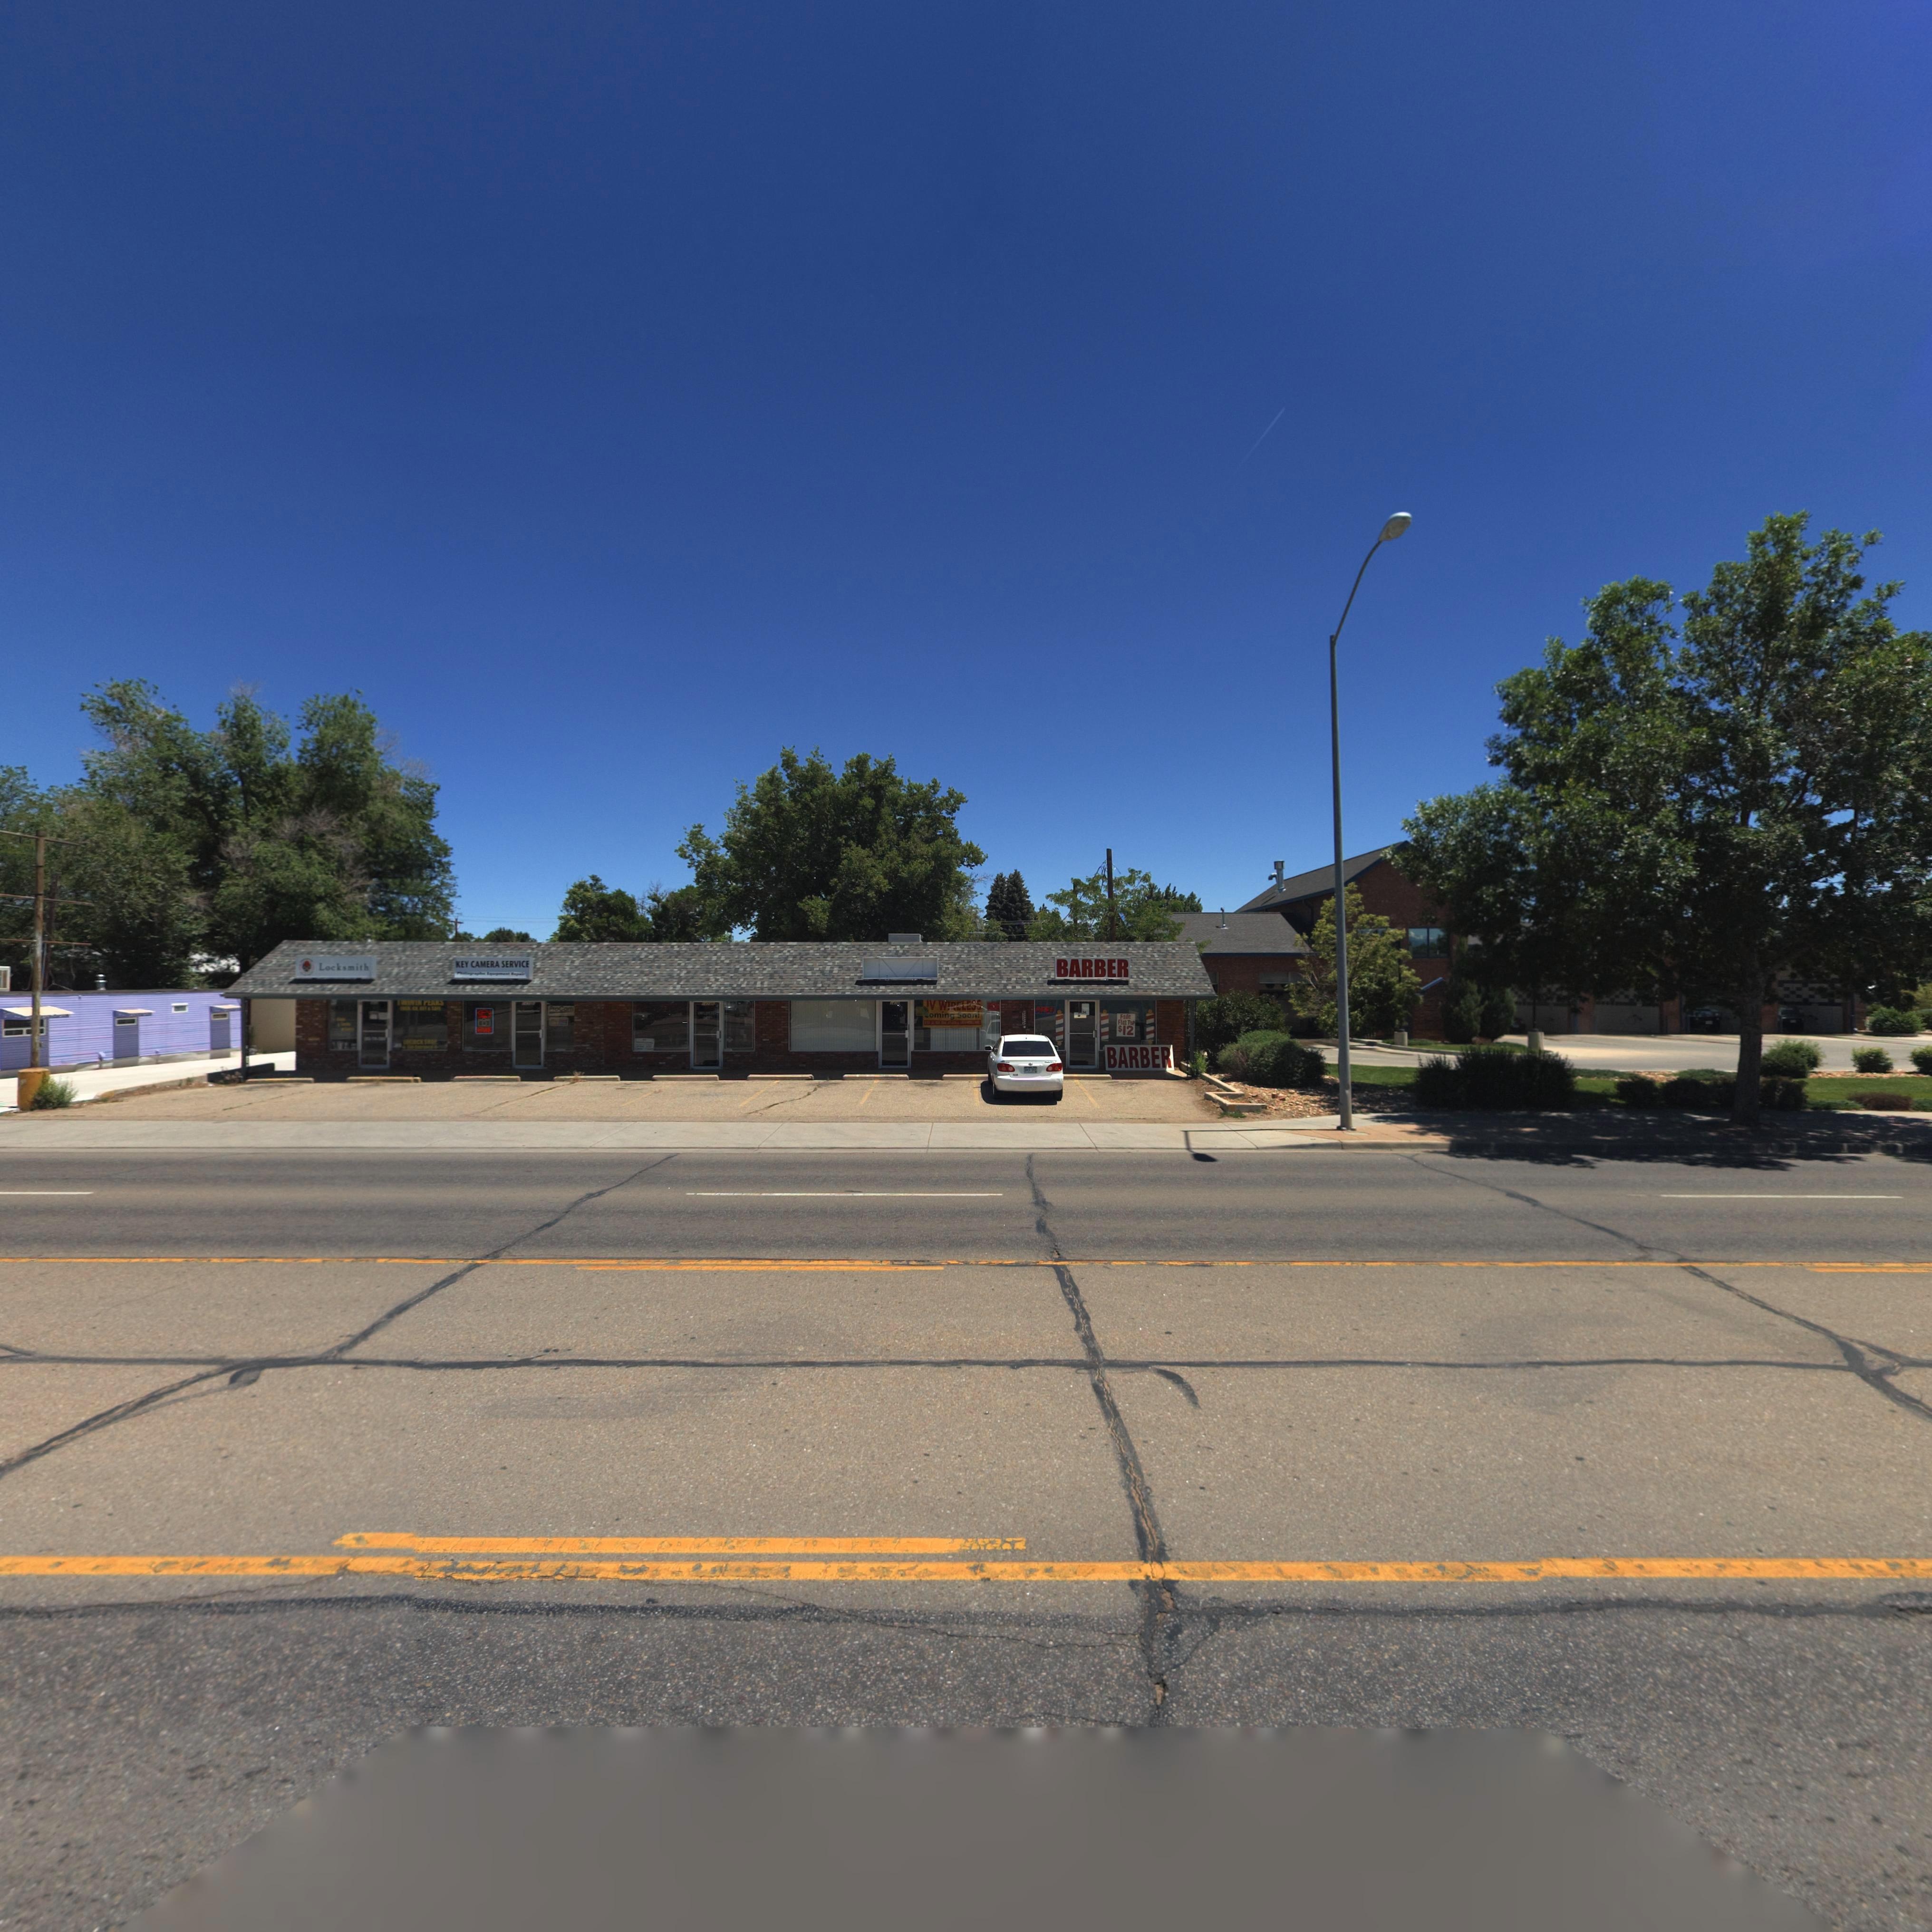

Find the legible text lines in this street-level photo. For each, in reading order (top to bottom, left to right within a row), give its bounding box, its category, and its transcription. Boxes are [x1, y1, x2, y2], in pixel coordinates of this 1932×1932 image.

[455, 959, 530, 968] BusinessName: KEY CAMERA SERVICE